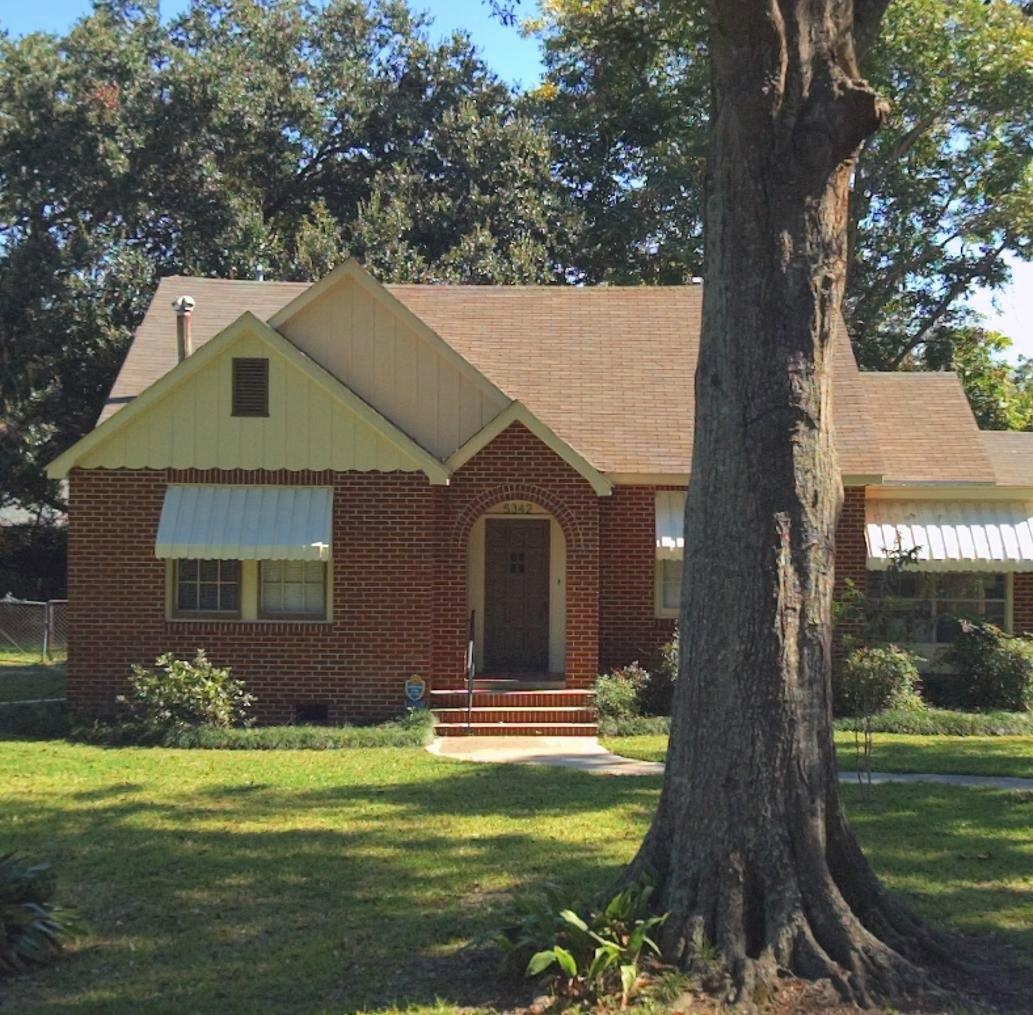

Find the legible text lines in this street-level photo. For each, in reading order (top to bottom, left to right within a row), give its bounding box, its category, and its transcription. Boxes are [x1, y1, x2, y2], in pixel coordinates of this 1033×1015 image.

[501, 502, 534, 515] StreetNumber: 5342